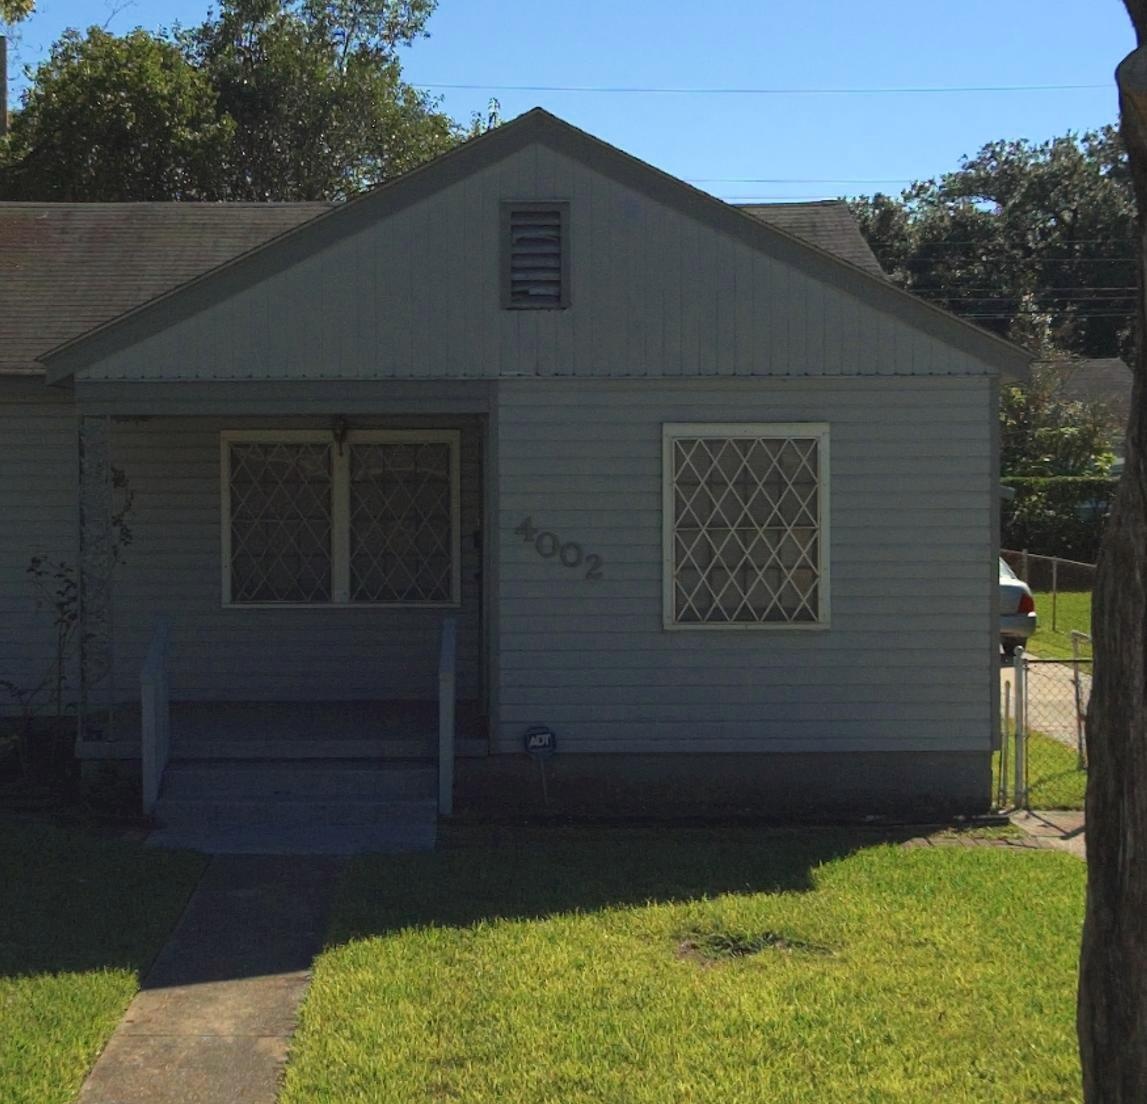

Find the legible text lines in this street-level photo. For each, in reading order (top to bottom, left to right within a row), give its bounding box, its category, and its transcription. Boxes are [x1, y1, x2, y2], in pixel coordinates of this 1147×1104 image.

[511, 512, 604, 581] StreetNumber: 4002
[527, 733, 552, 748] None: ADT